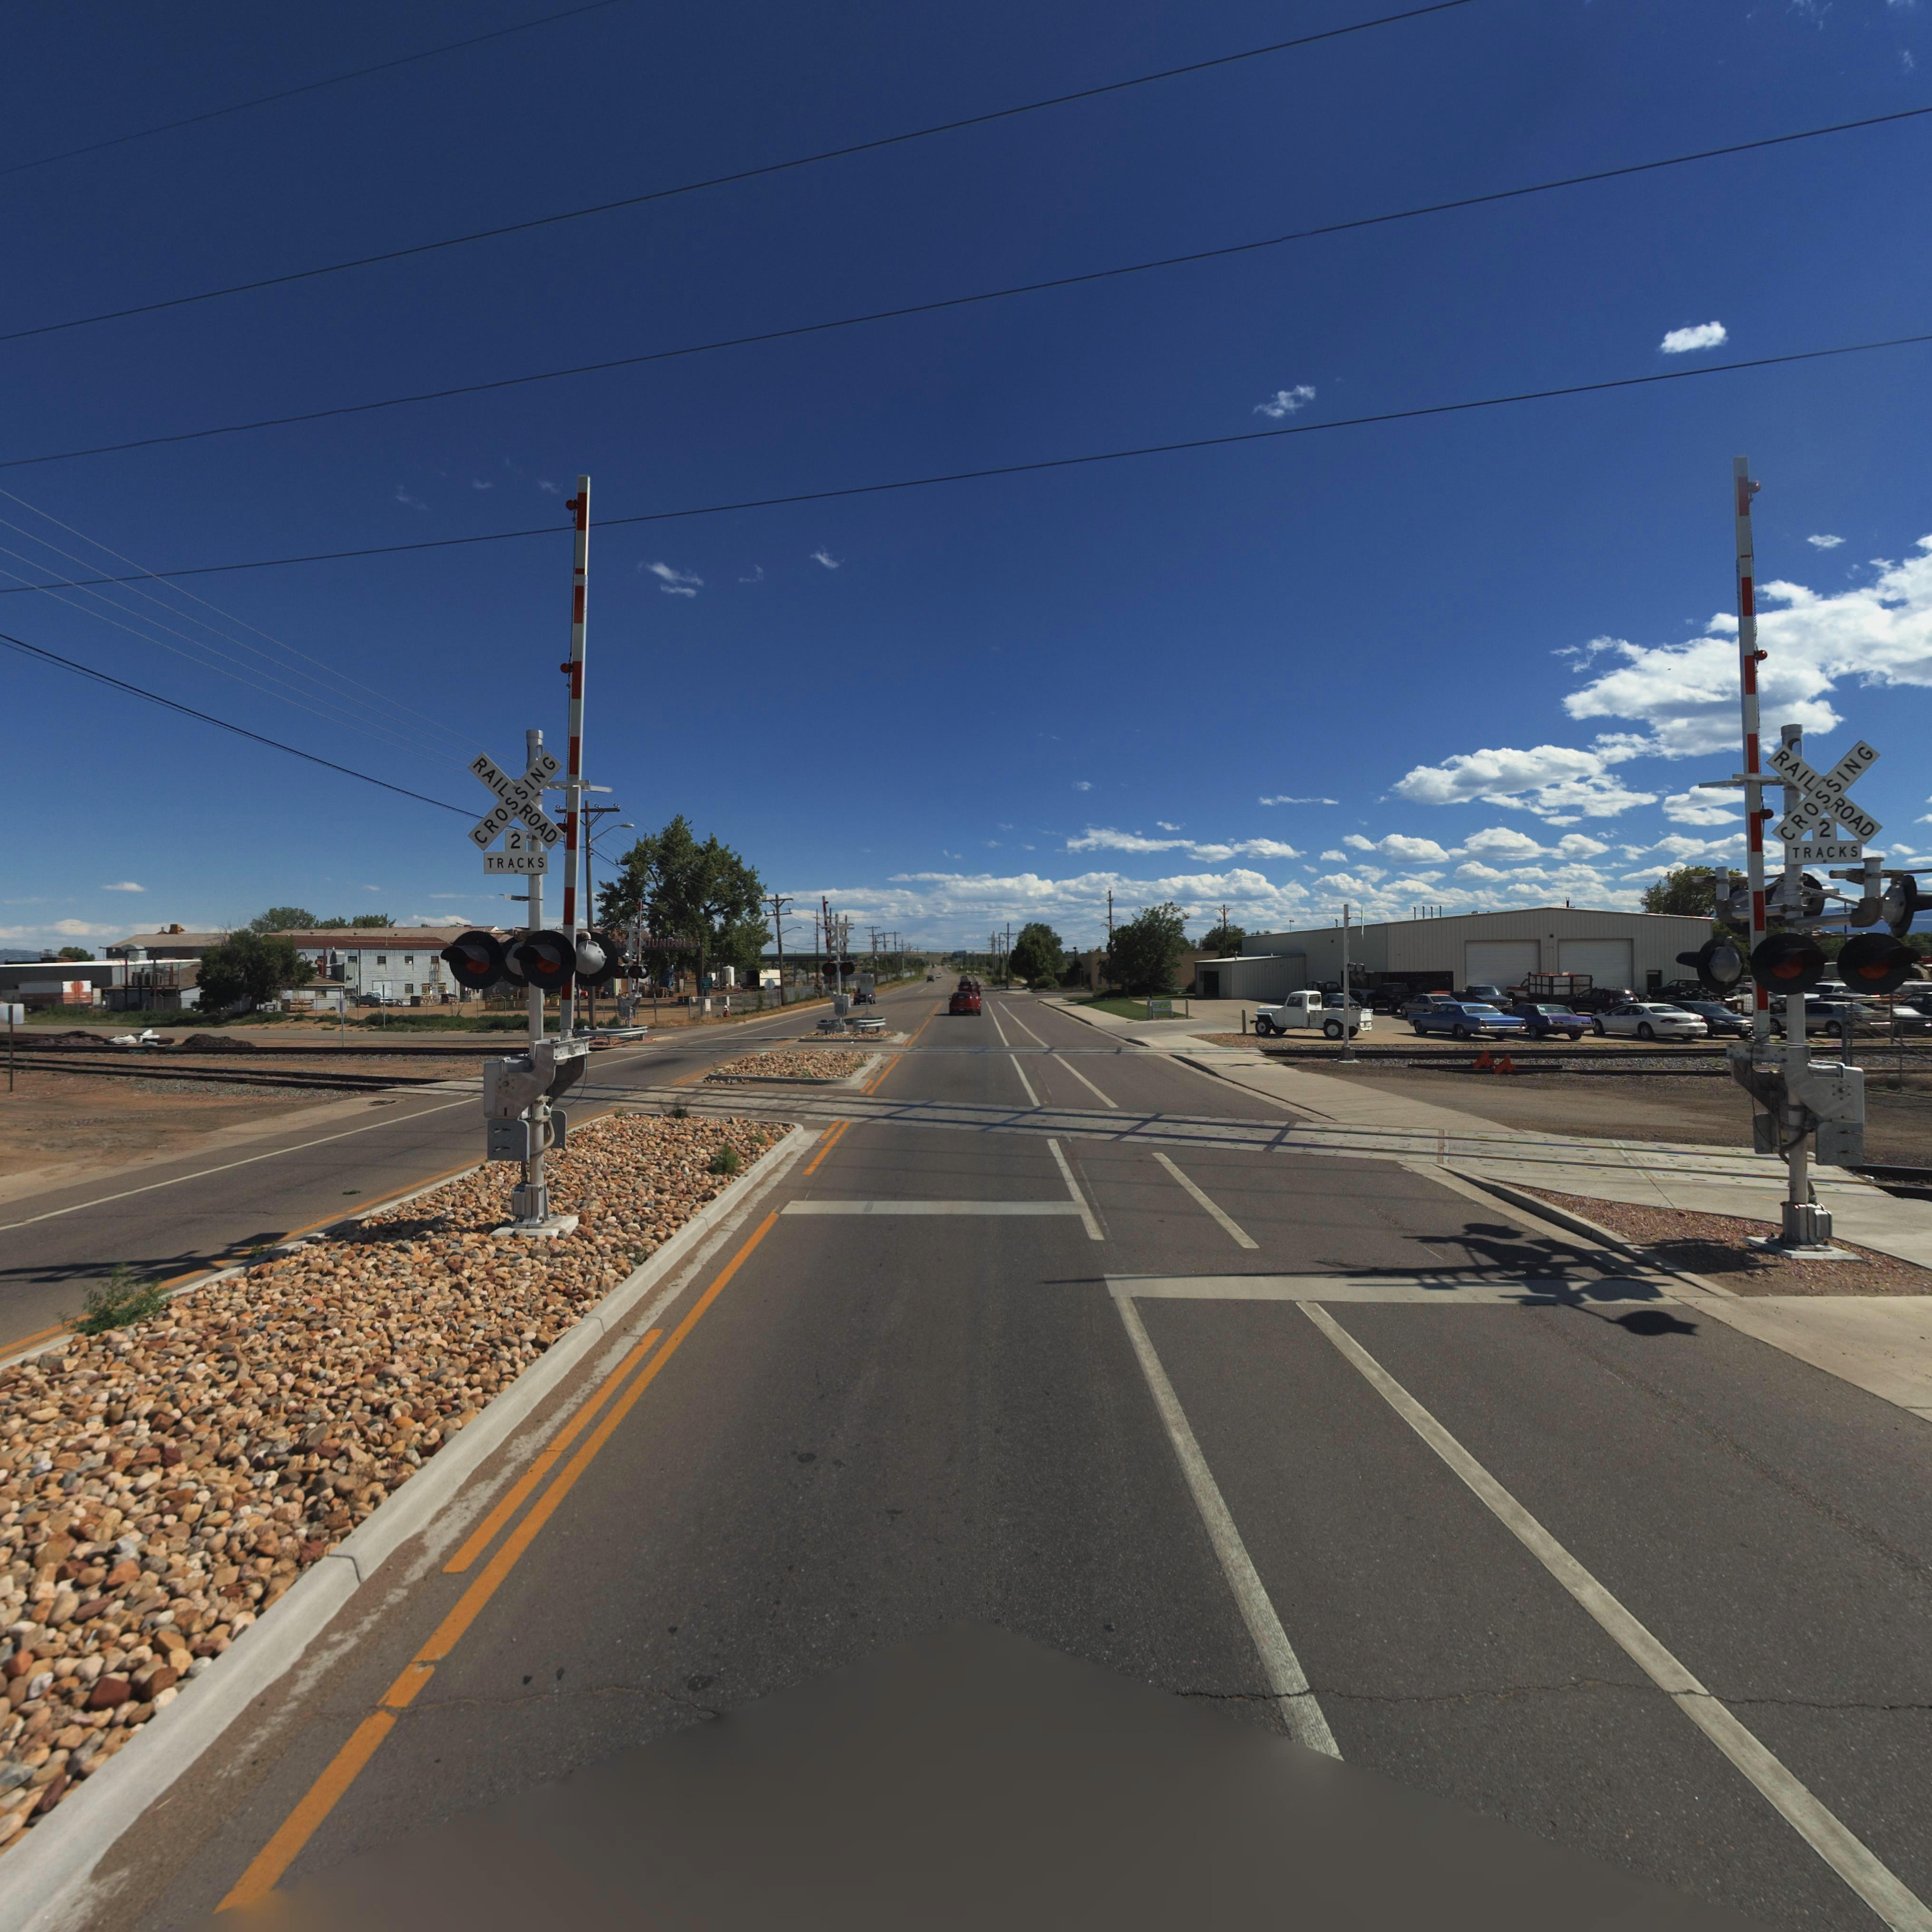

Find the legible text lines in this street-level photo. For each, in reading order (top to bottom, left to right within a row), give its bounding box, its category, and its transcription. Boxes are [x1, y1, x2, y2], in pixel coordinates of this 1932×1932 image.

[615, 937, 700, 947] BusinessName: R****OUNDRIES